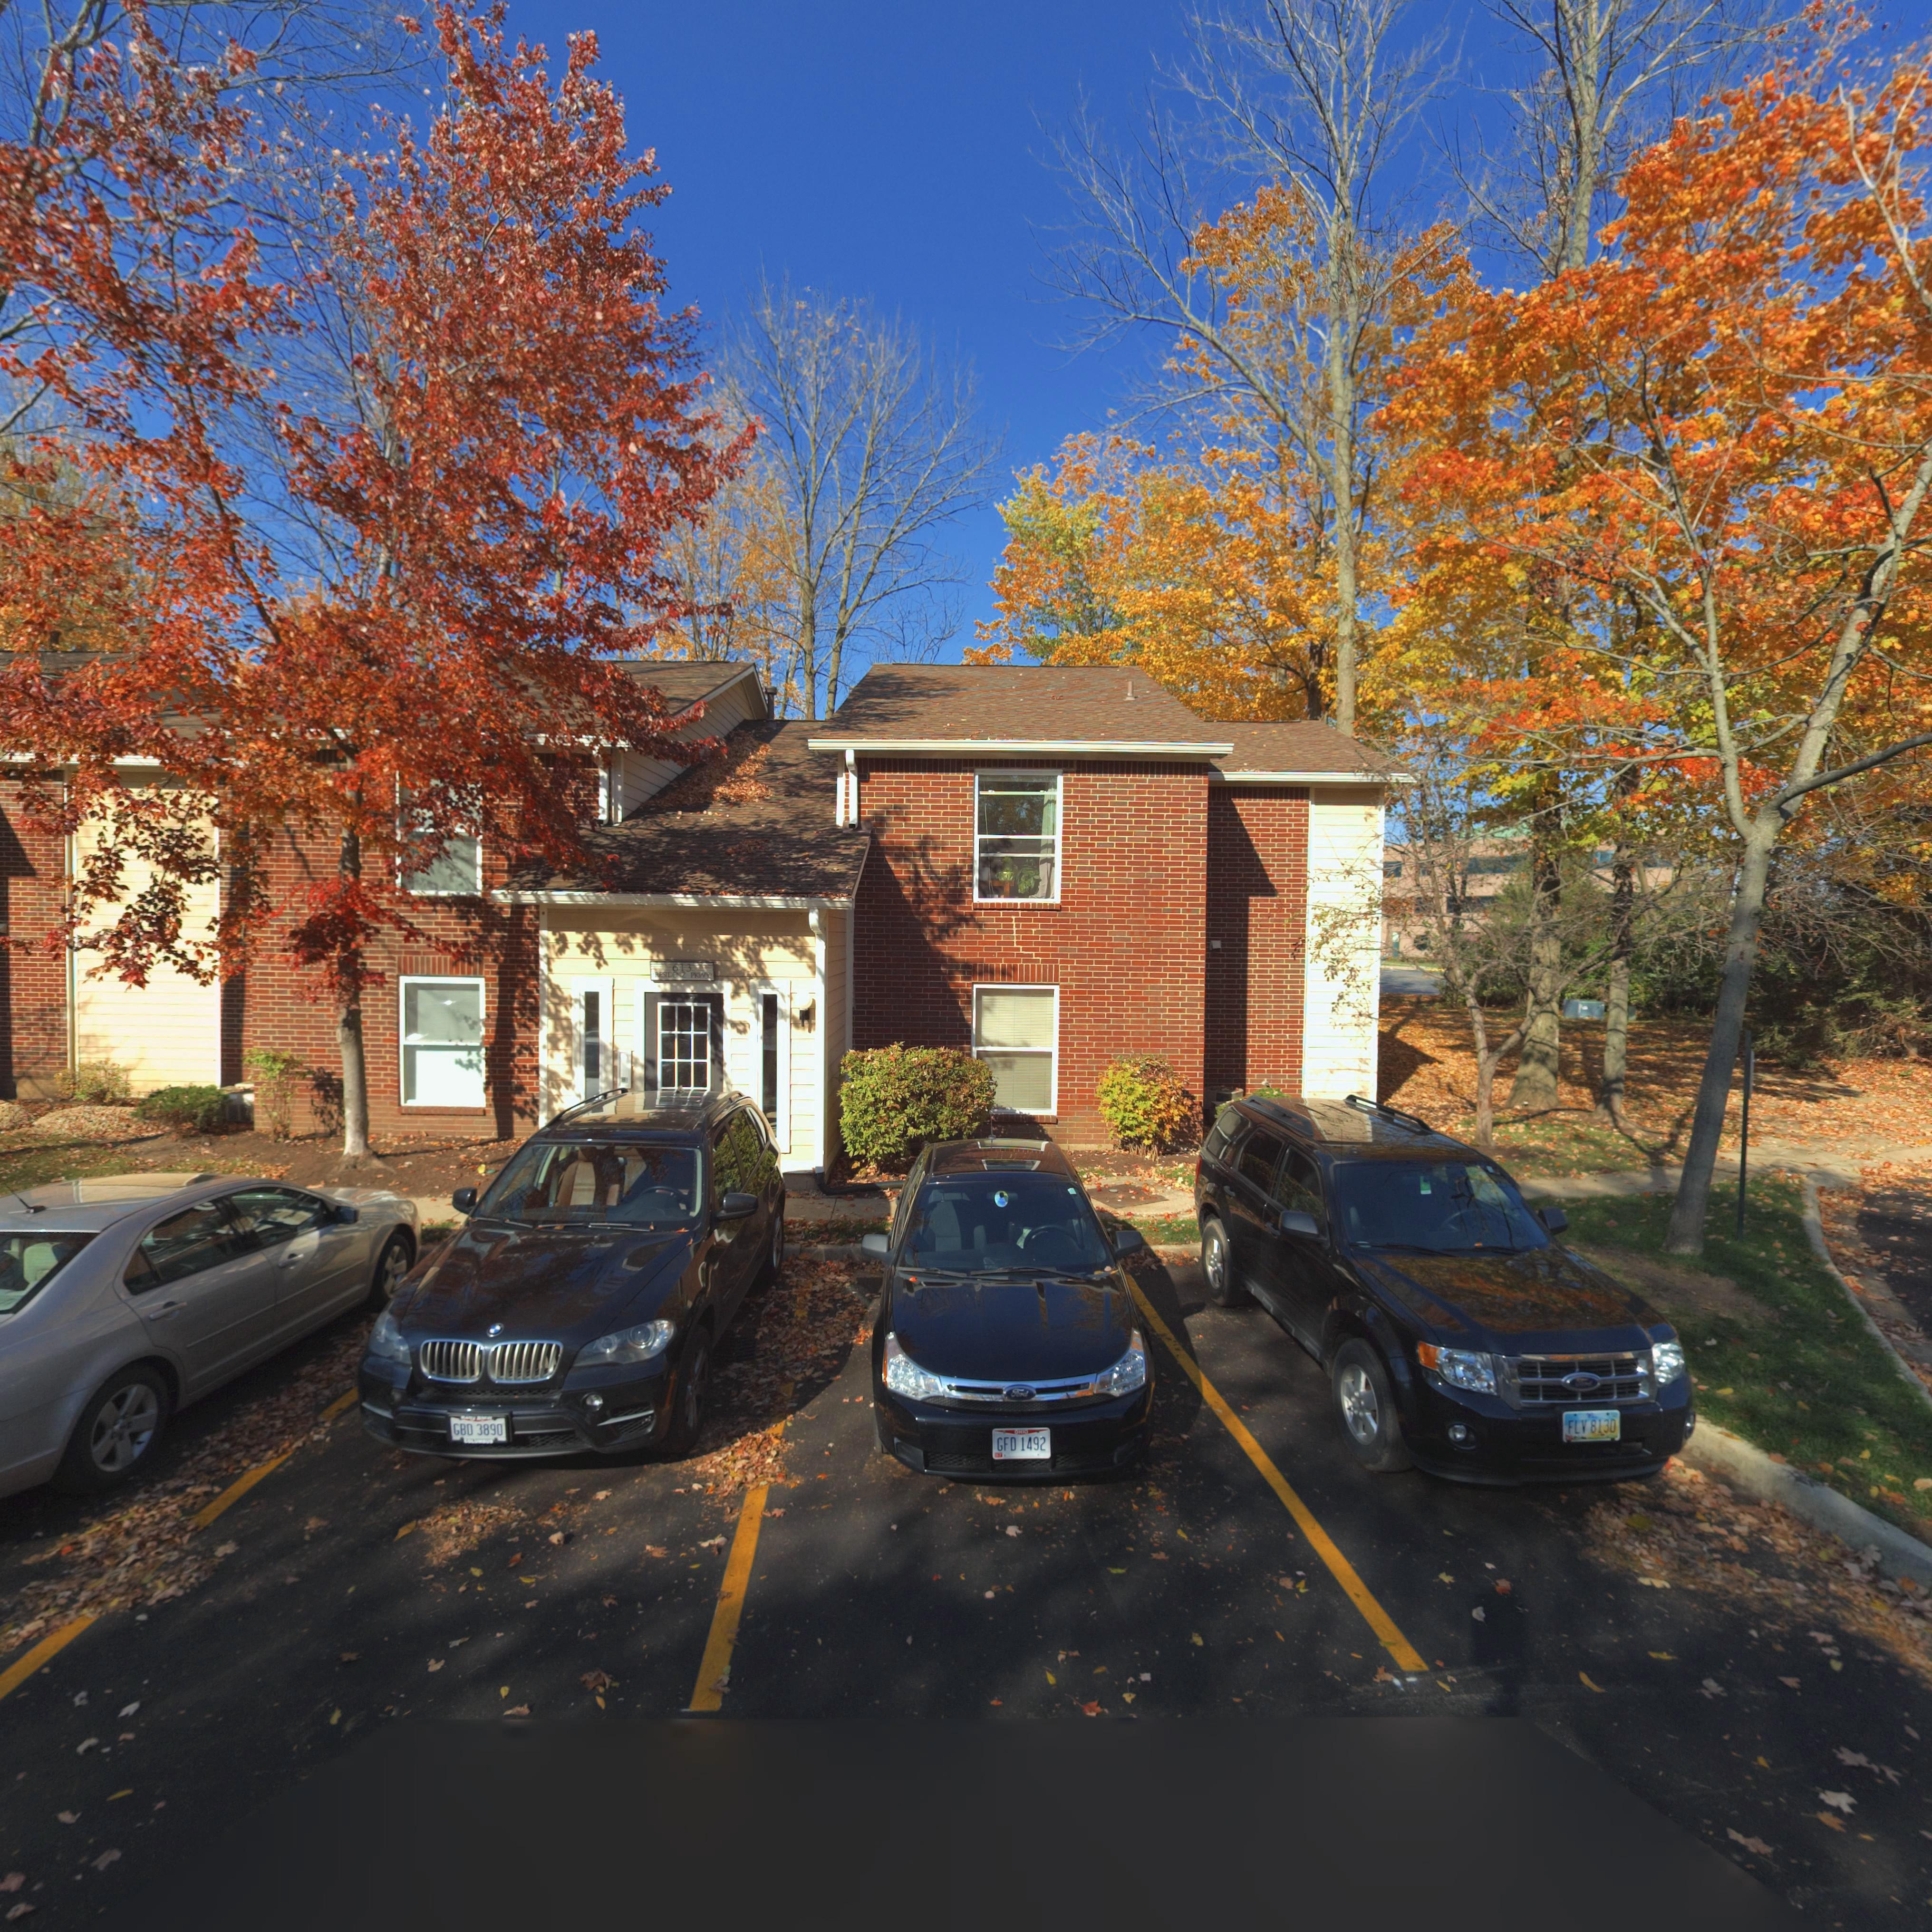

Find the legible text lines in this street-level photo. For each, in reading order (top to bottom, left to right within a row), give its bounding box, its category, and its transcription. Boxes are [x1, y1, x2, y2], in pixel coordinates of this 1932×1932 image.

[671, 962, 694, 973] StreetNumber: 613
[654, 971, 713, 979] StreetName: RESIDENZ PKW*
[1009, 1387, 1030, 1399] None: Ford
[453, 1422, 504, 1437] None: GBD 3890
[1013, 1429, 1030, 1436] None: OHIO
[1566, 1417, 1618, 1436] None: FLY 8130
[996, 1435, 1047, 1452] None: GFD 1492